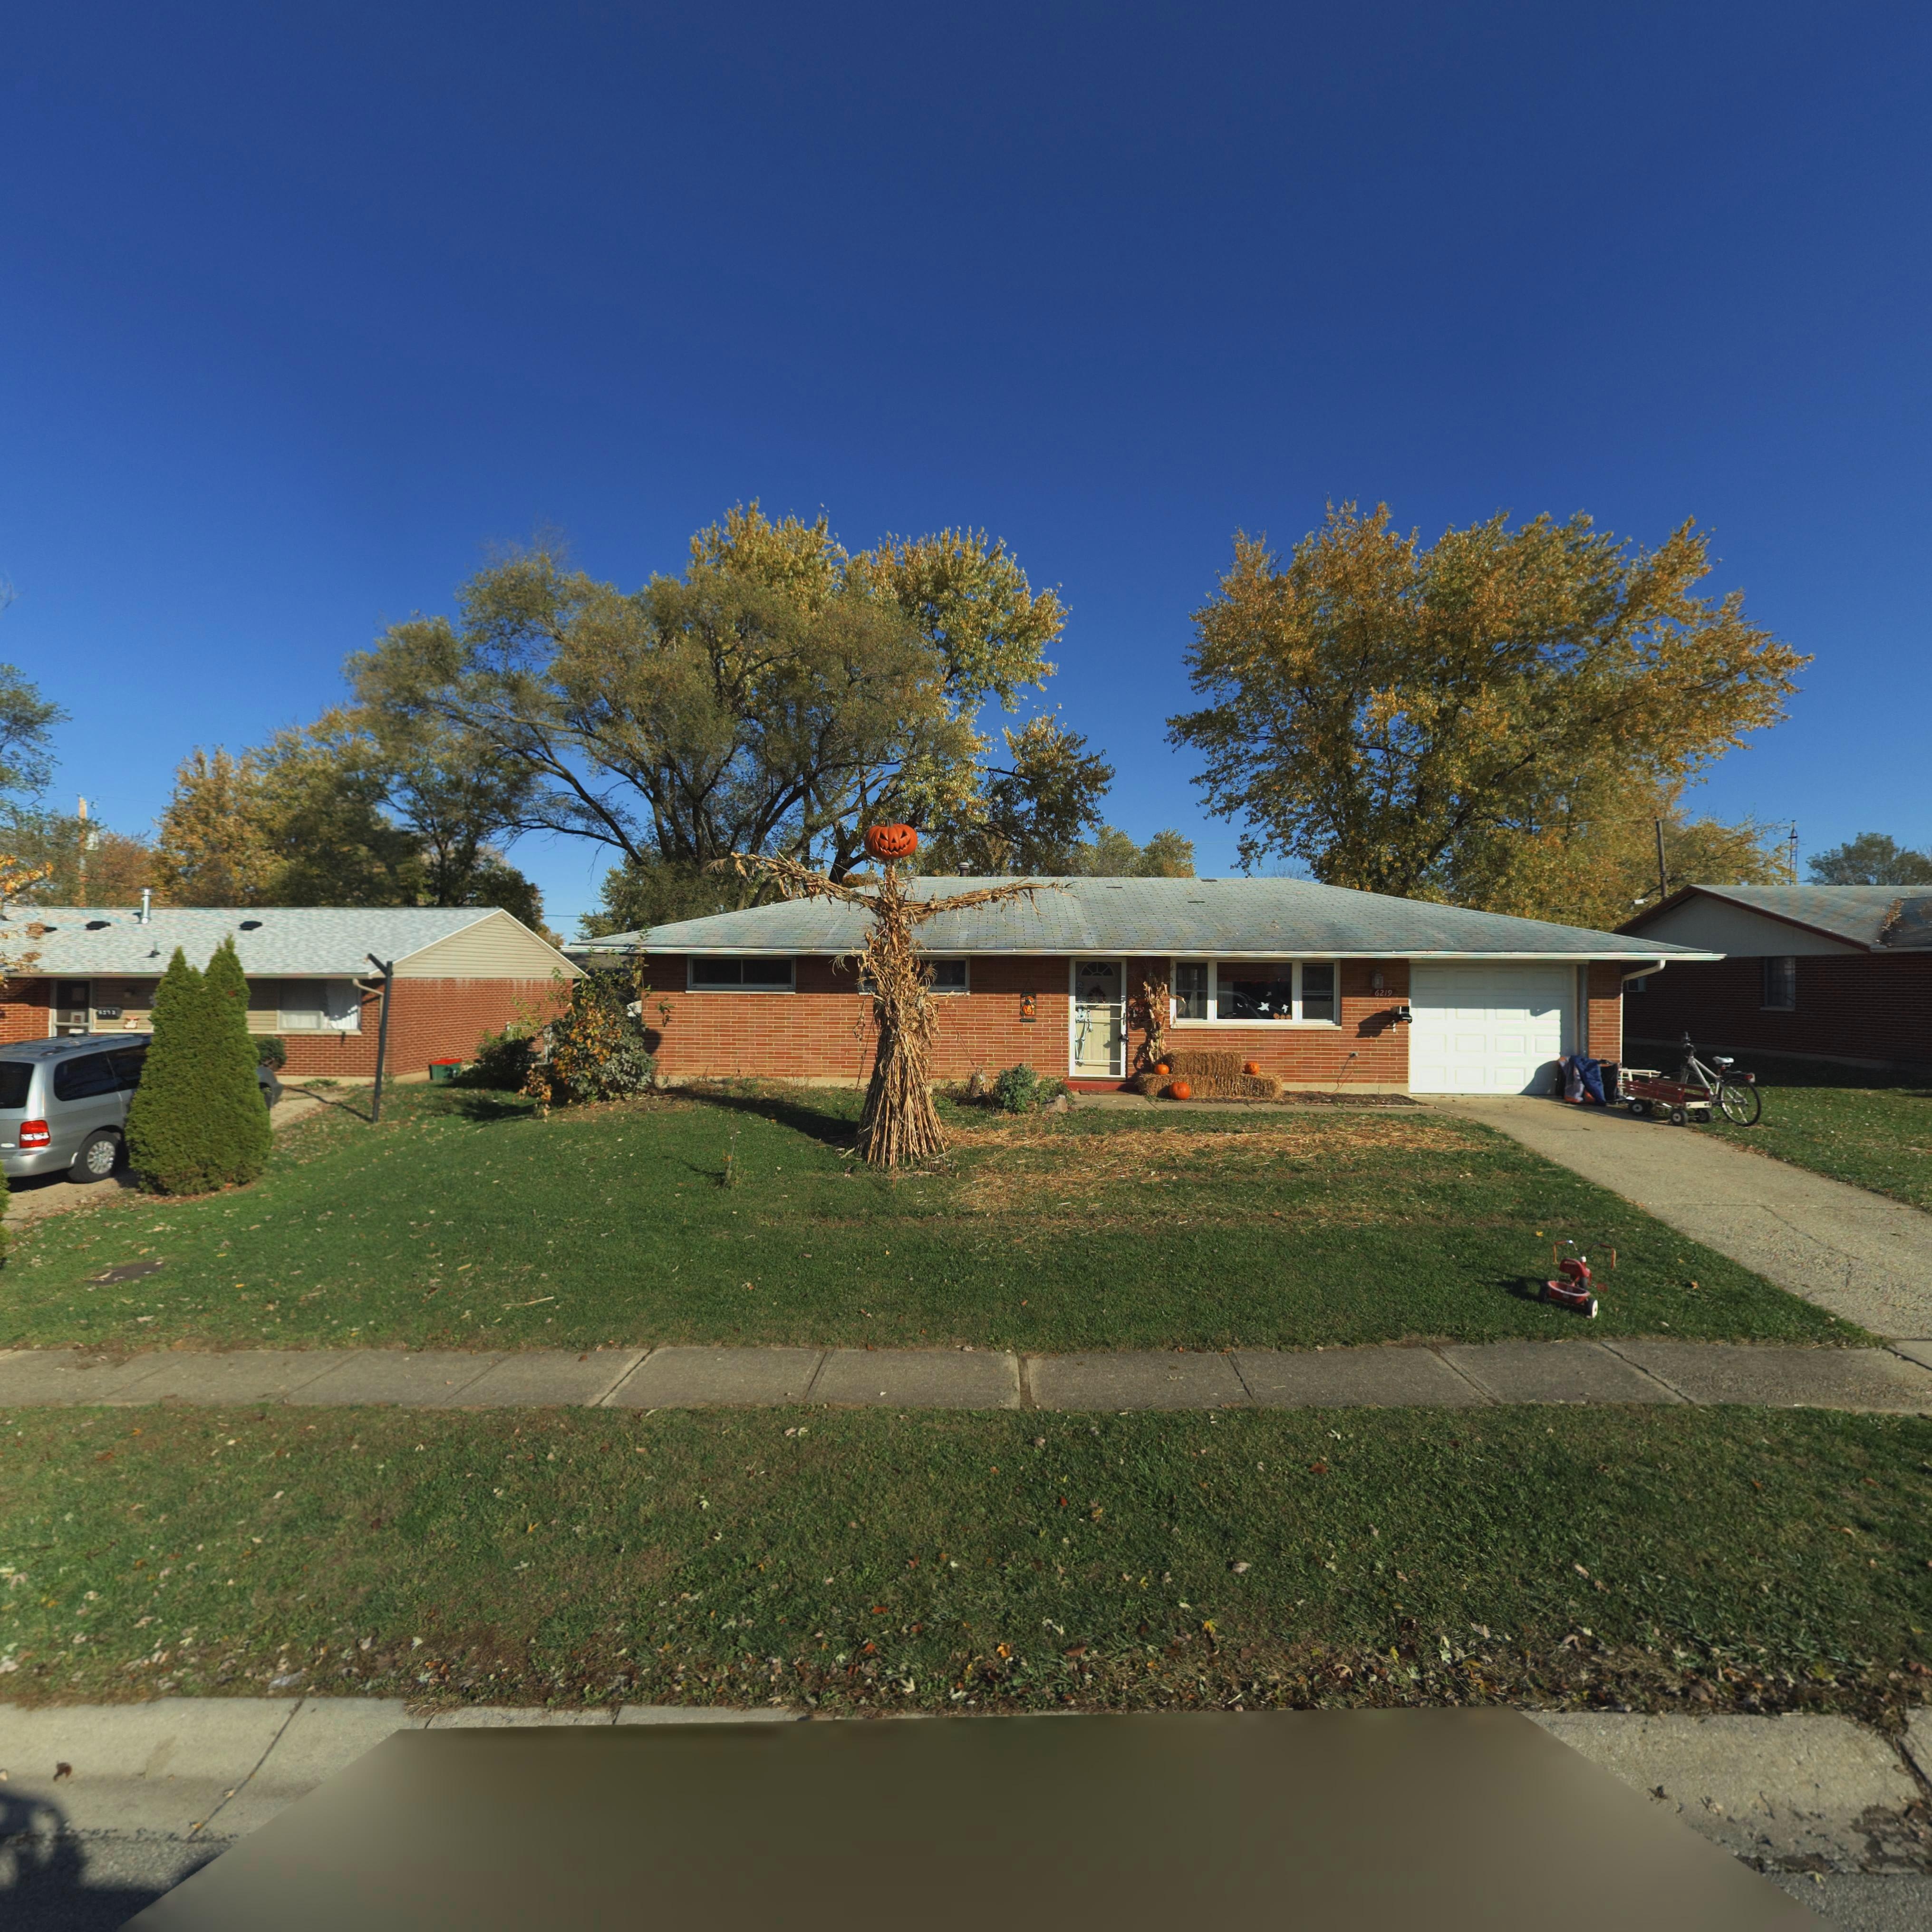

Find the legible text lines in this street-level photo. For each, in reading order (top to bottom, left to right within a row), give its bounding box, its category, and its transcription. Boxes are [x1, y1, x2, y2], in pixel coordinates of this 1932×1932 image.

[1374, 989, 1393, 997] StreetNumber: 6219
[97, 1009, 117, 1015] StreetNumber: 6213